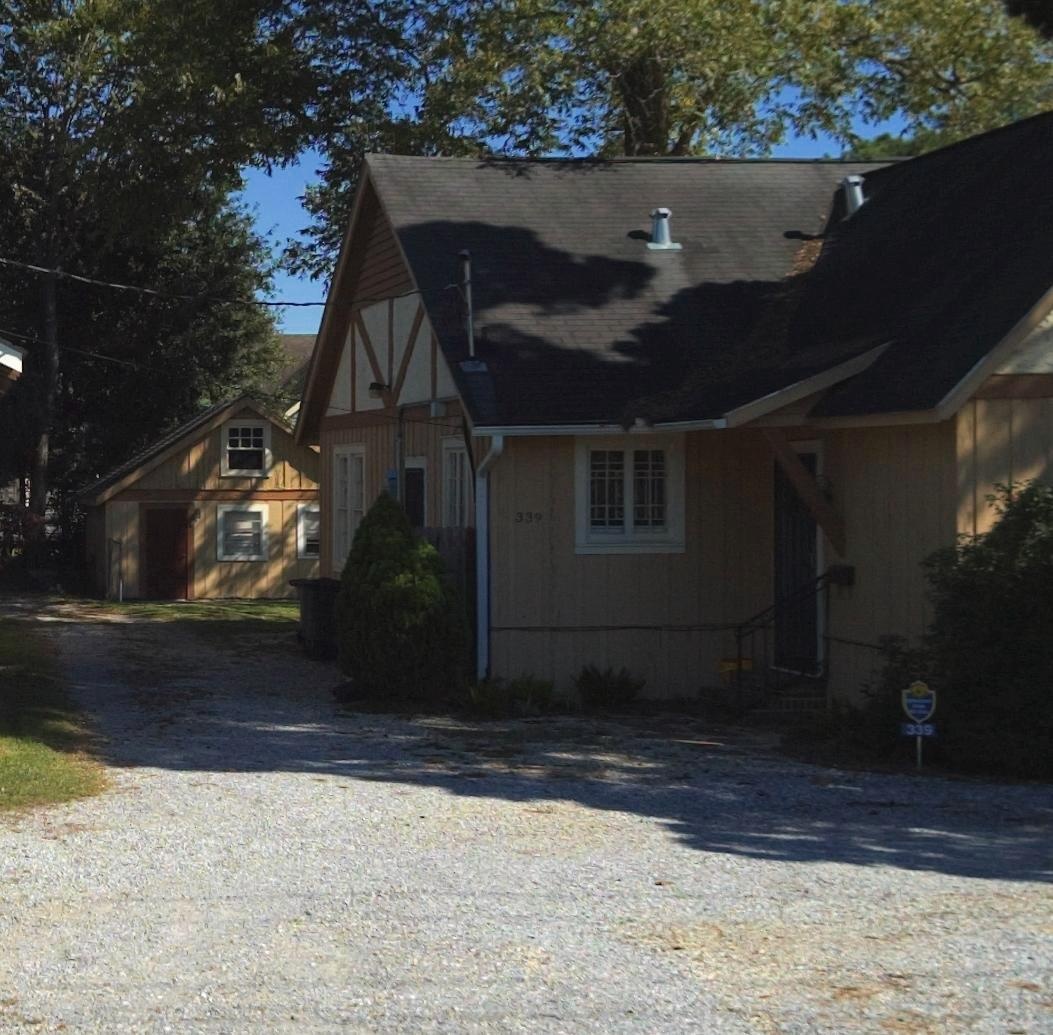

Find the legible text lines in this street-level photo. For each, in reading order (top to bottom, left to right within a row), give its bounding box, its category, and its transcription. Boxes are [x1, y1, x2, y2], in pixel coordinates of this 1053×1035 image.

[513, 510, 544, 525] StreetNumber: 339
[904, 722, 935, 737] StreetNumber: 339